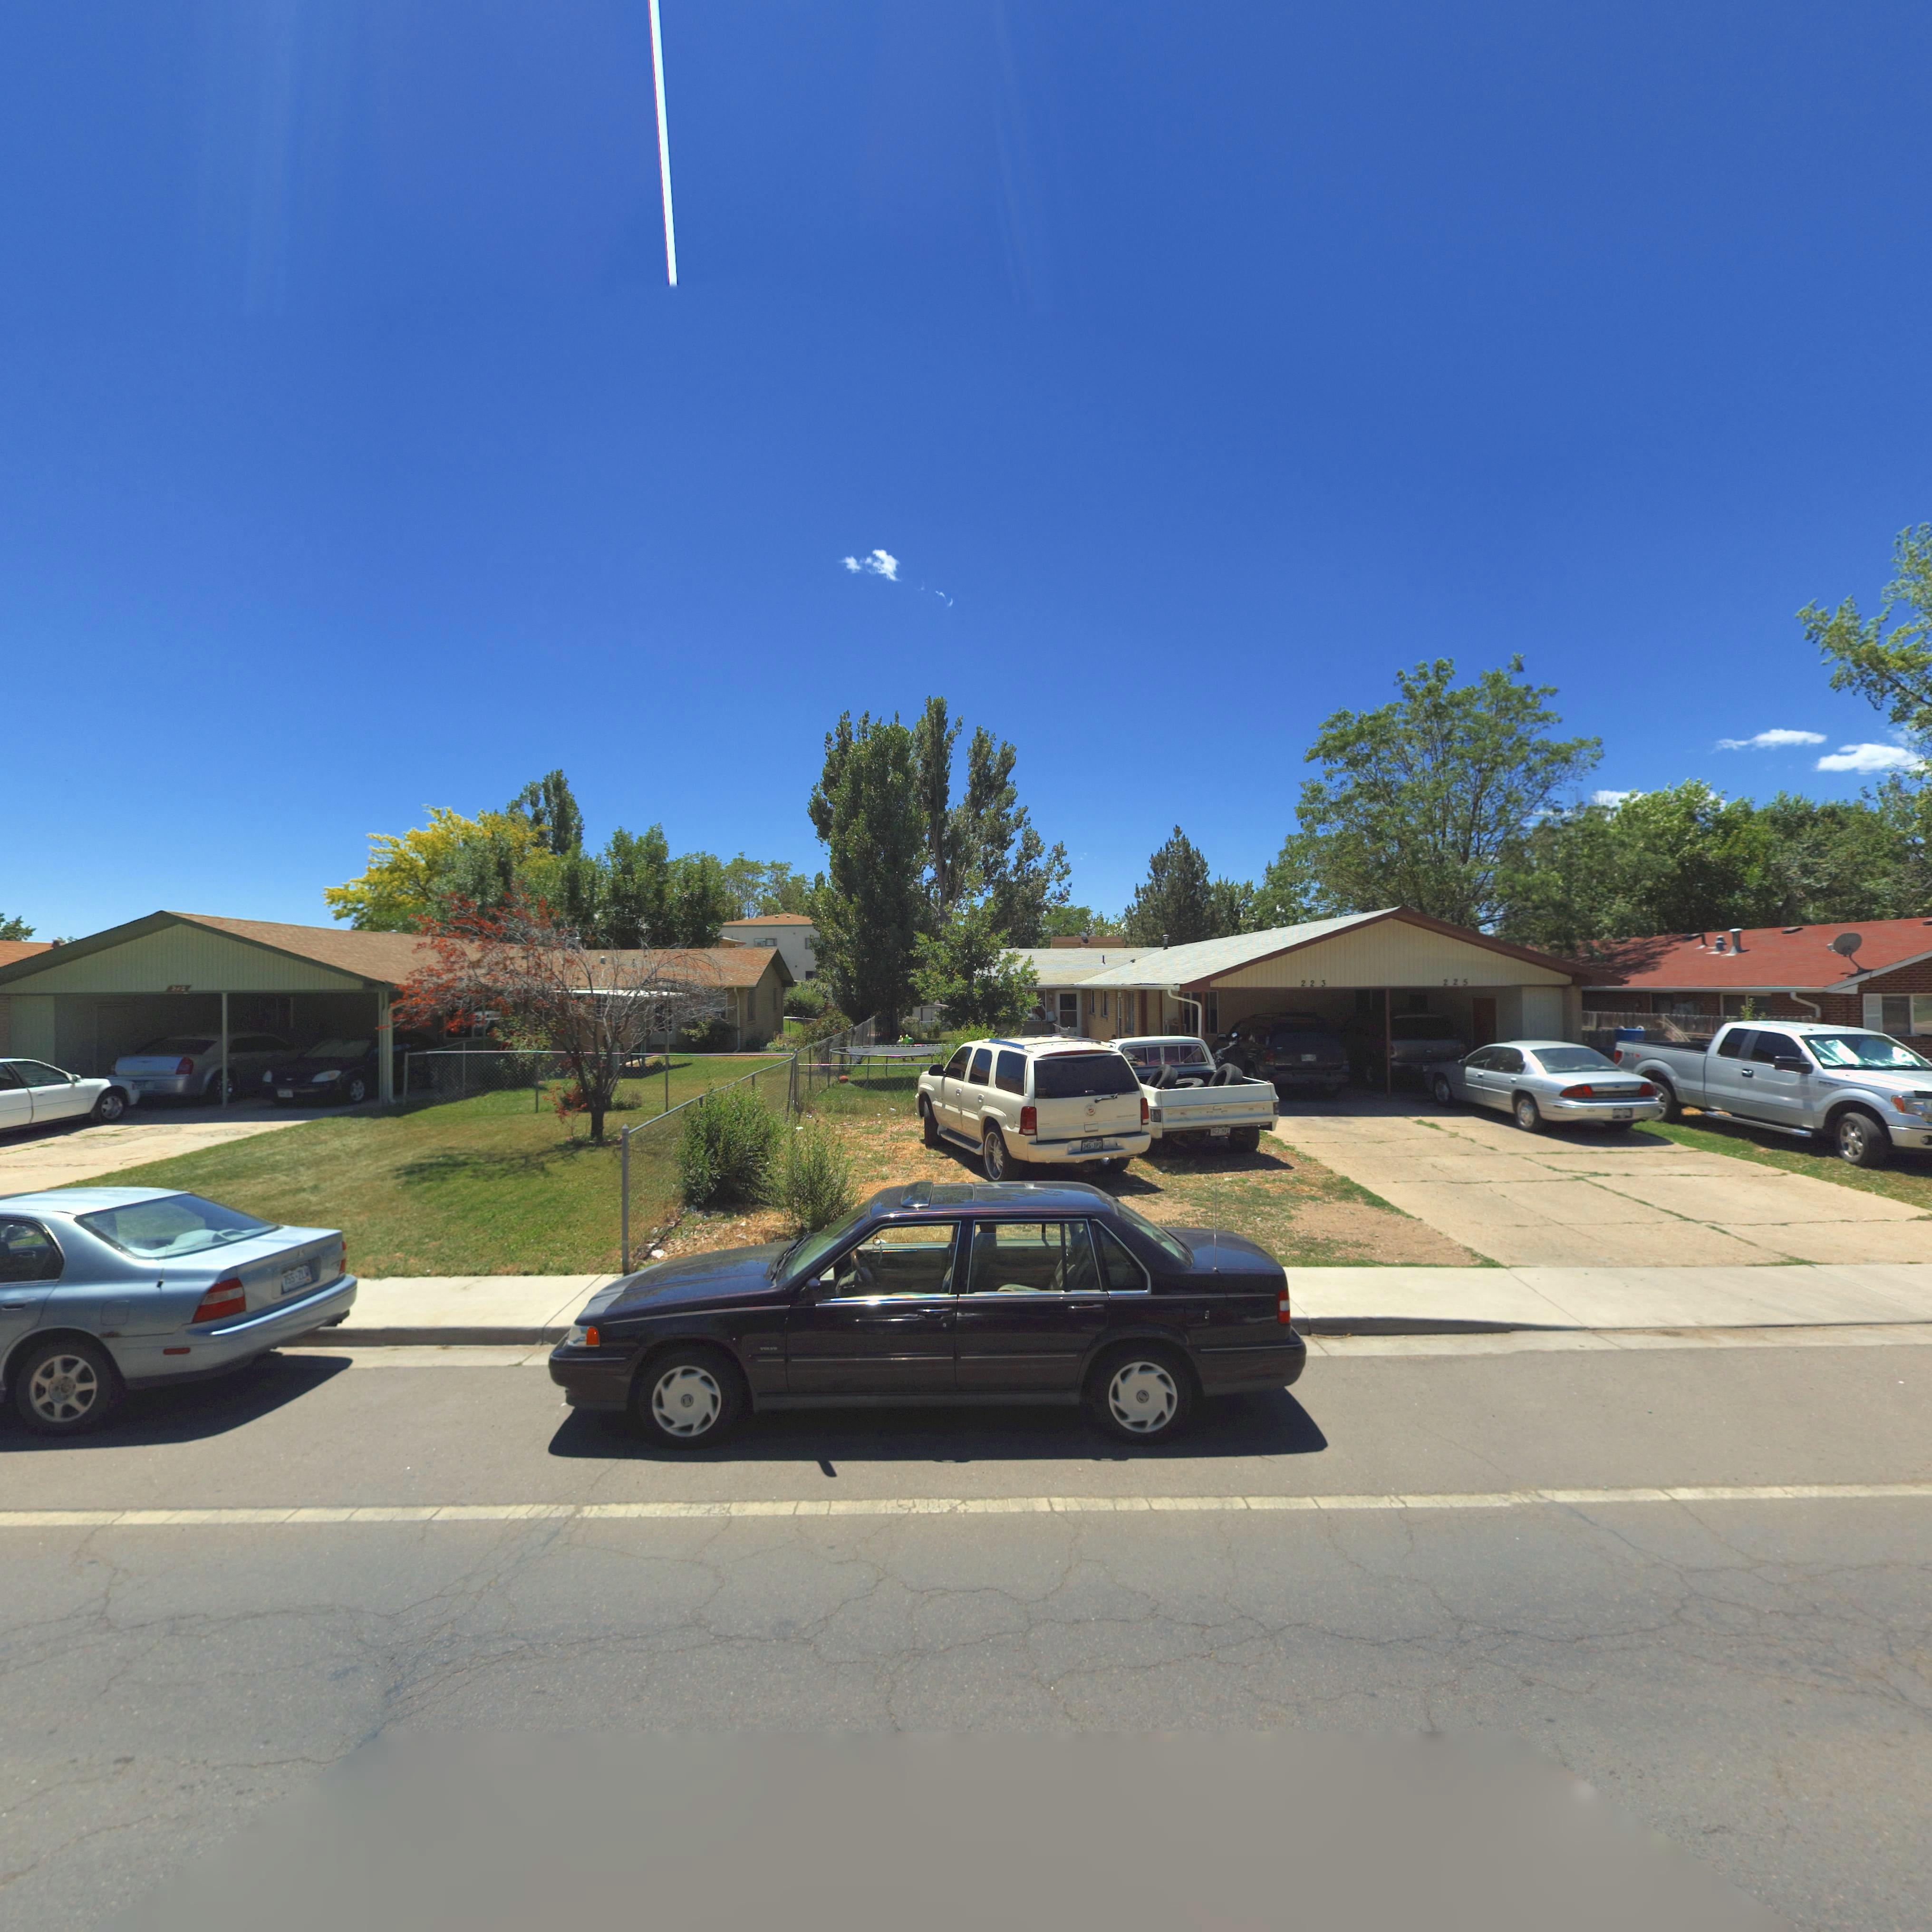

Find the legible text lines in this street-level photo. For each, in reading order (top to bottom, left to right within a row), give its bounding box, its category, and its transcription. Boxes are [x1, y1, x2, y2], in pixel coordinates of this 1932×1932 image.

[1300, 979, 1326, 987] StreetNumber: 223
[1442, 978, 1468, 986] StreetNumber: 225
[170, 985, 186, 992] StreetNumber: 215